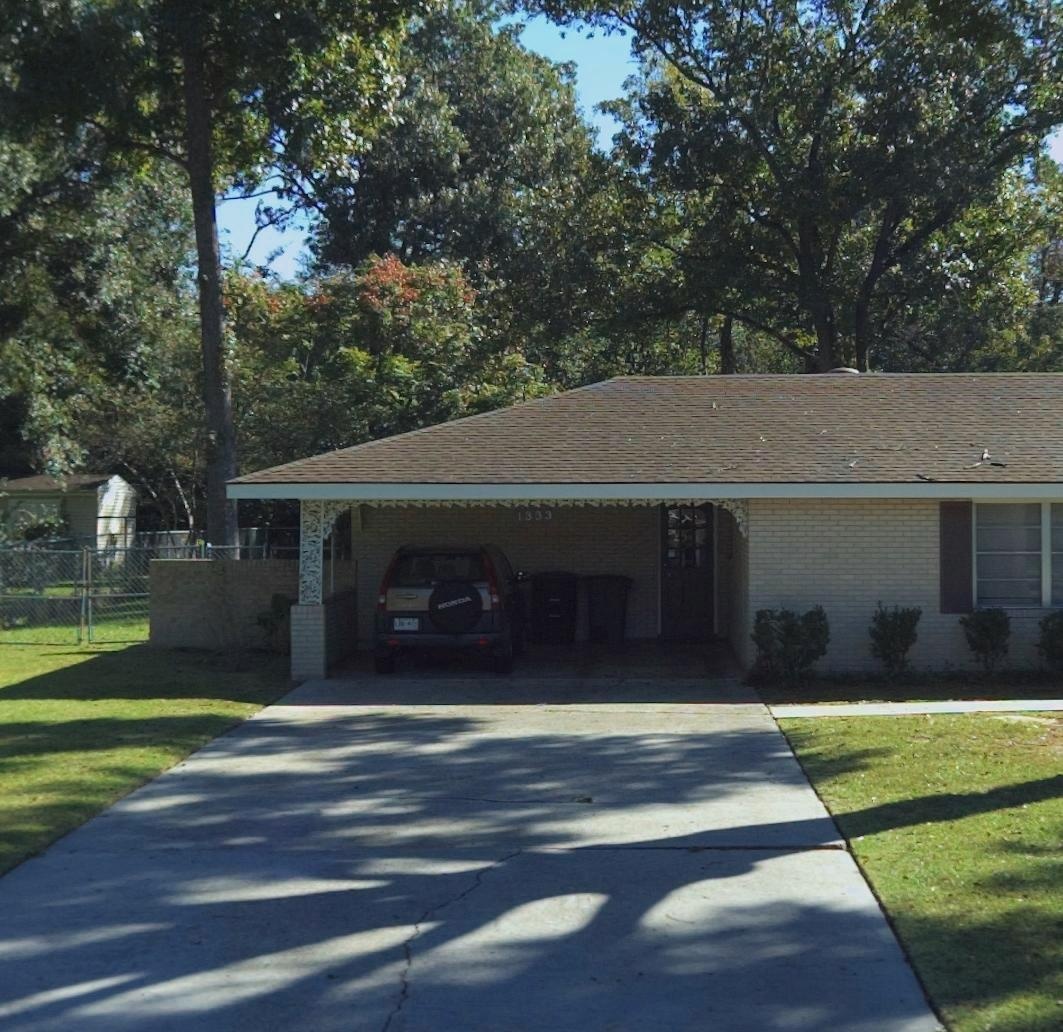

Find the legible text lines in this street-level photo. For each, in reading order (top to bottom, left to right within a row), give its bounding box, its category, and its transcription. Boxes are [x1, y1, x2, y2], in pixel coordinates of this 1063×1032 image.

[516, 508, 554, 524] StreetNumber: 1333
[436, 593, 477, 613] None: HONDA